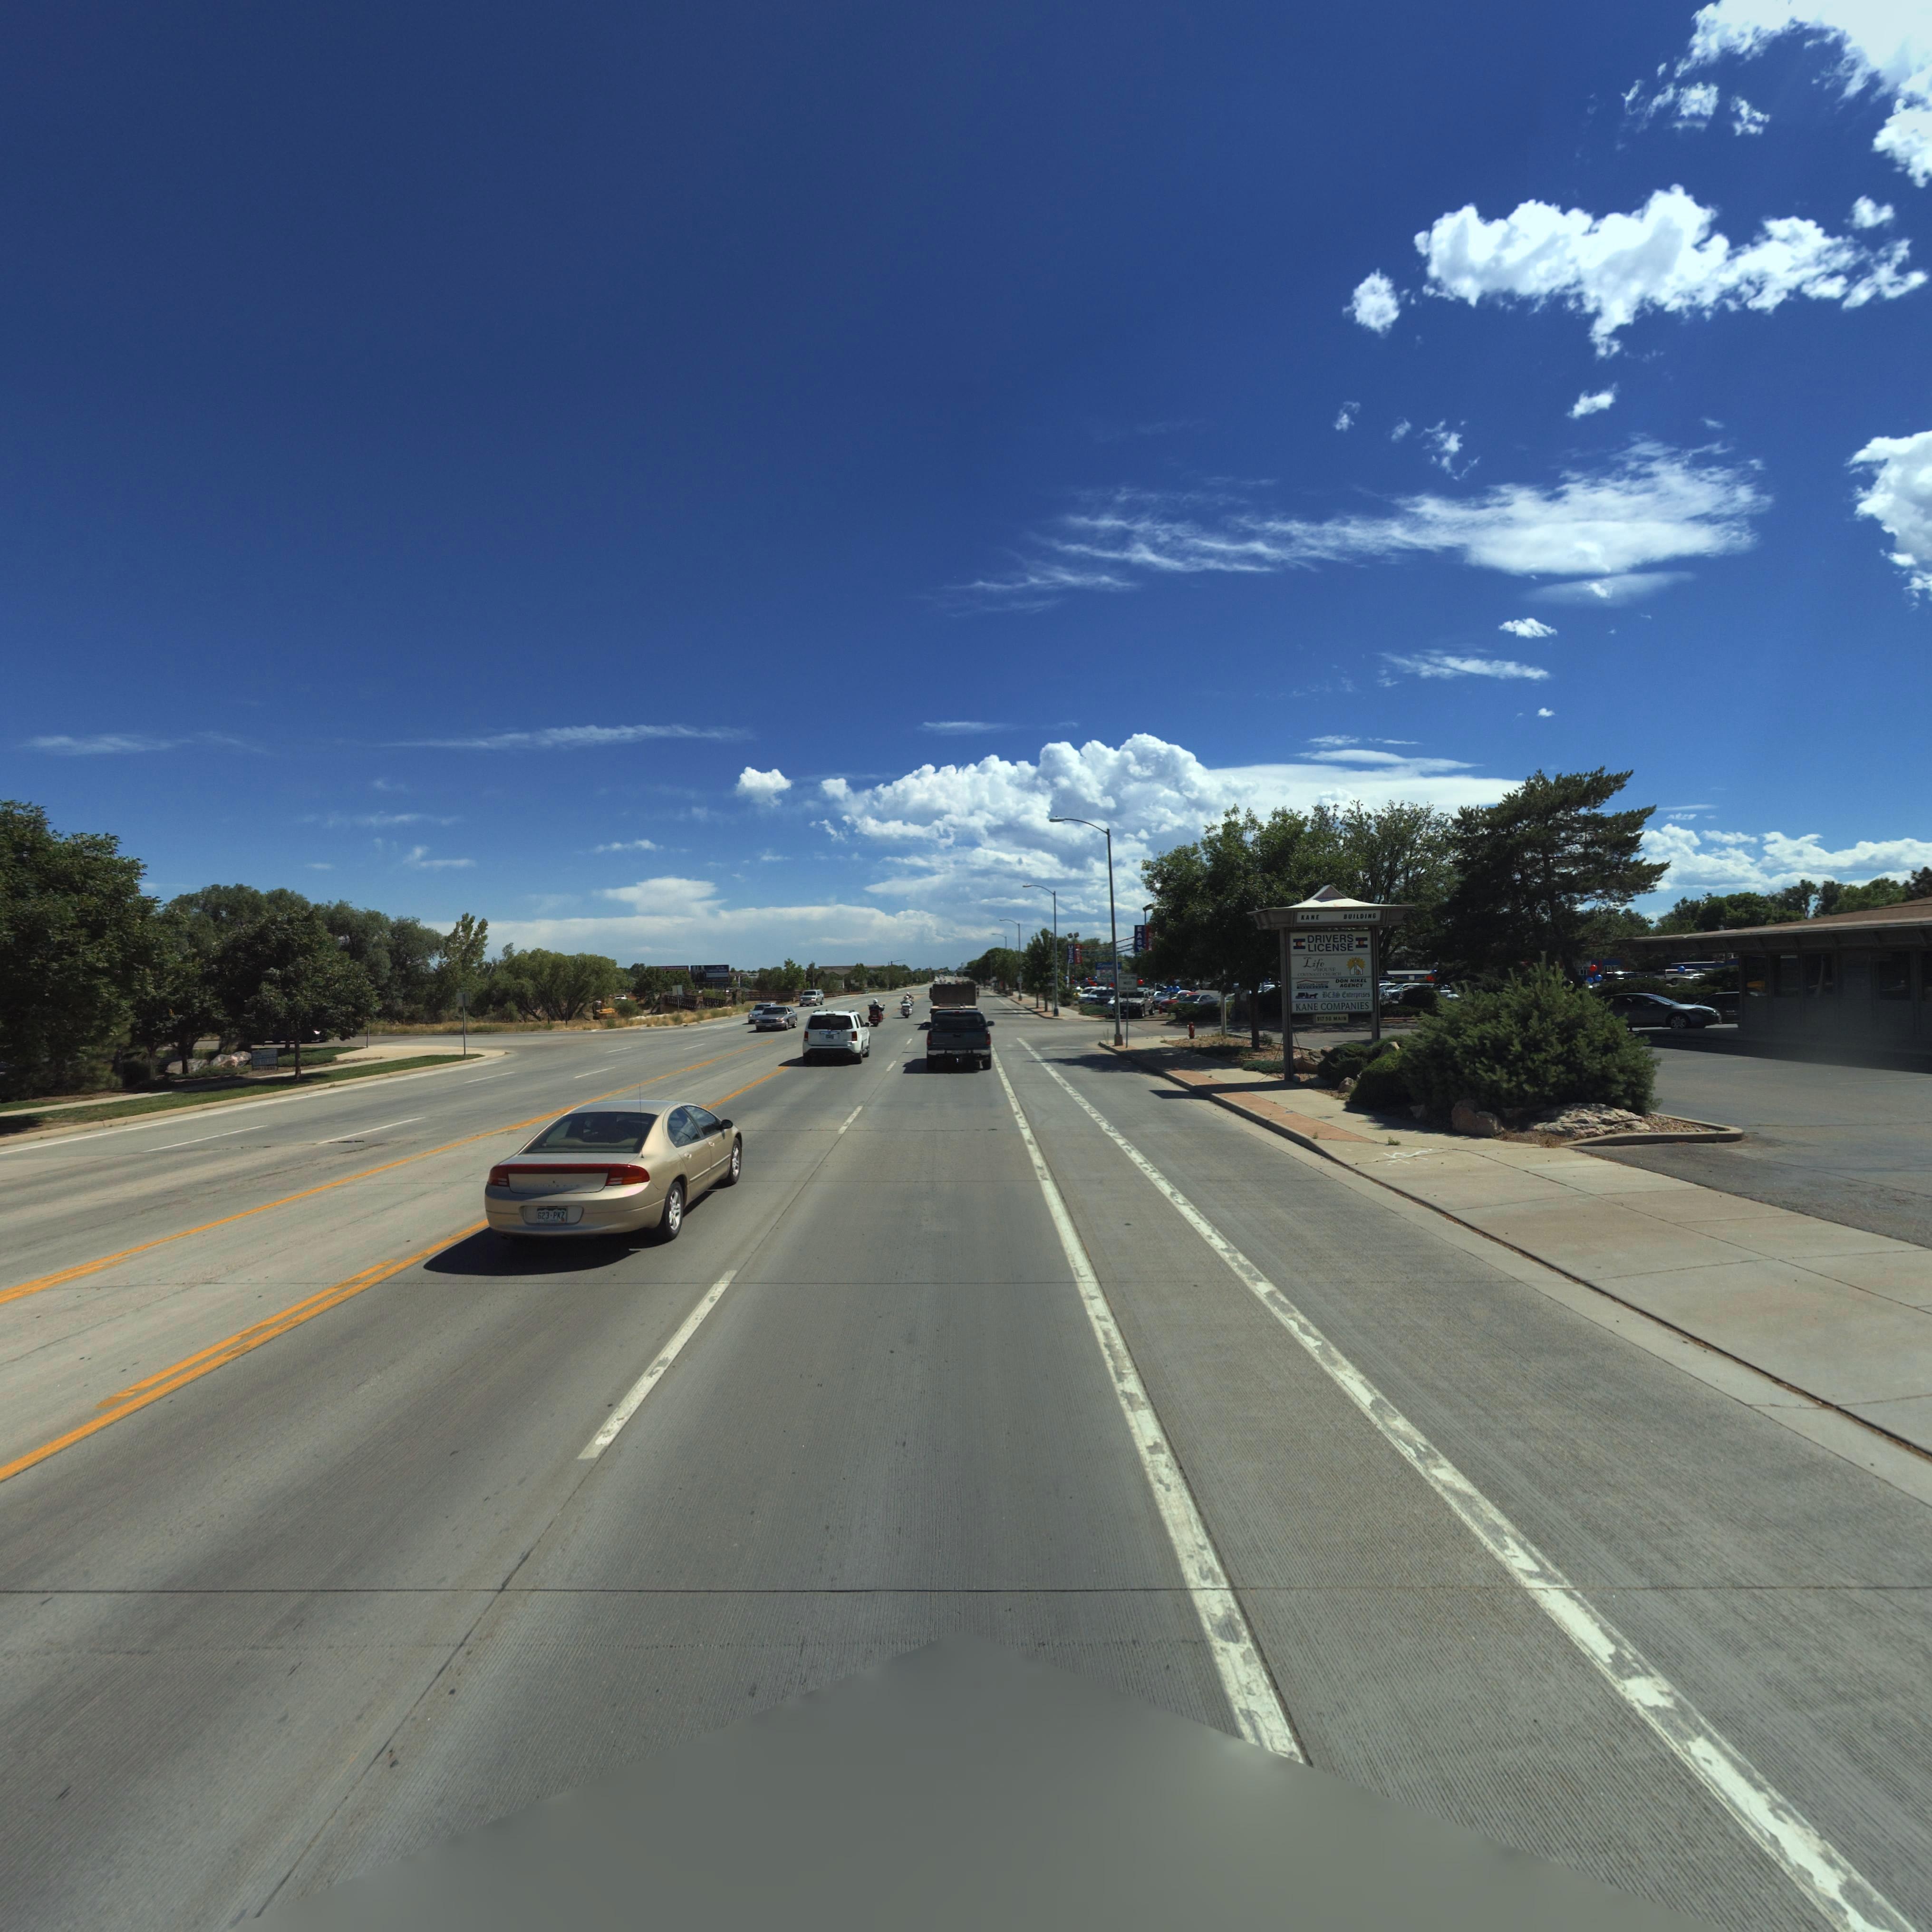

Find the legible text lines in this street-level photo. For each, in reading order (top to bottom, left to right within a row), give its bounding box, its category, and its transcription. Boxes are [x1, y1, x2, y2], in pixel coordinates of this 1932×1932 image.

[1306, 933, 1354, 943] BusinessName: DRIVERS
[1307, 942, 1354, 952] BusinessName: LICENSE
[1097, 962, 1113, 968] BusinessName: Sp****
[1302, 956, 1325, 971] BusinessName: Life
[1317, 966, 1336, 972] BusinessName: HOUSE
[1297, 972, 1342, 976] BusinessName: COVENANT CHURCH
[1295, 982, 1329, 986] BusinessName: AM***N F****
[1299, 985, 1326, 988] BusinessName: IN***A**
[1322, 990, 1370, 998] BusinessName: DC*S Enterprise
[1295, 1001, 1370, 1011] BusinessName: KANE COMPANIES
[1317, 1015, 1324, 1021] StreetNumber: 917
[1325, 1015, 1347, 1021] StreetName: 30 MAIN